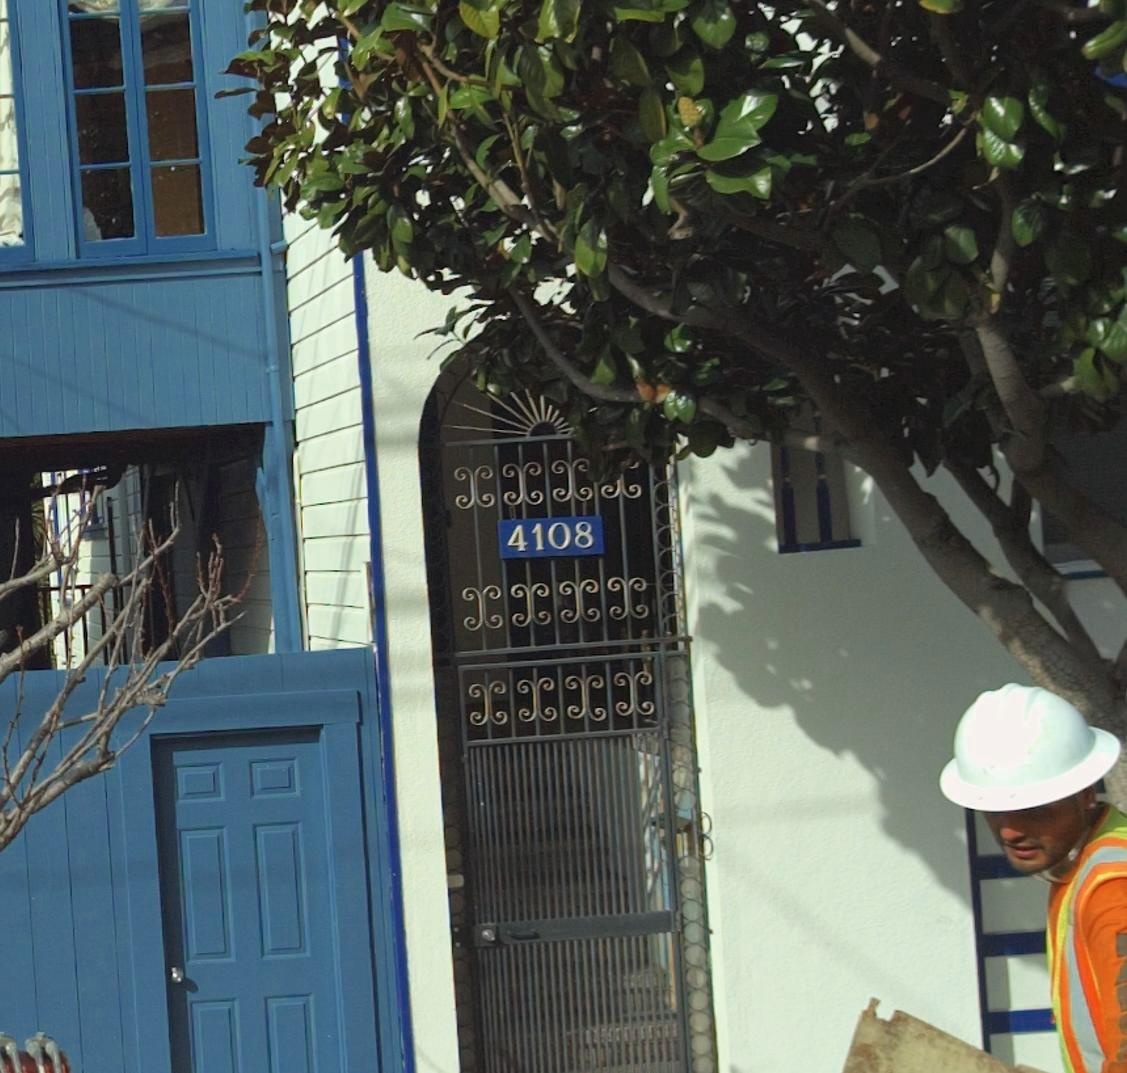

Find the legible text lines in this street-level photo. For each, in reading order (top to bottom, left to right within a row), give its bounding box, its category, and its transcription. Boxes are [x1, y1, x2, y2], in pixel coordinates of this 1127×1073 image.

[505, 519, 596, 554] StreetNumber: 4108